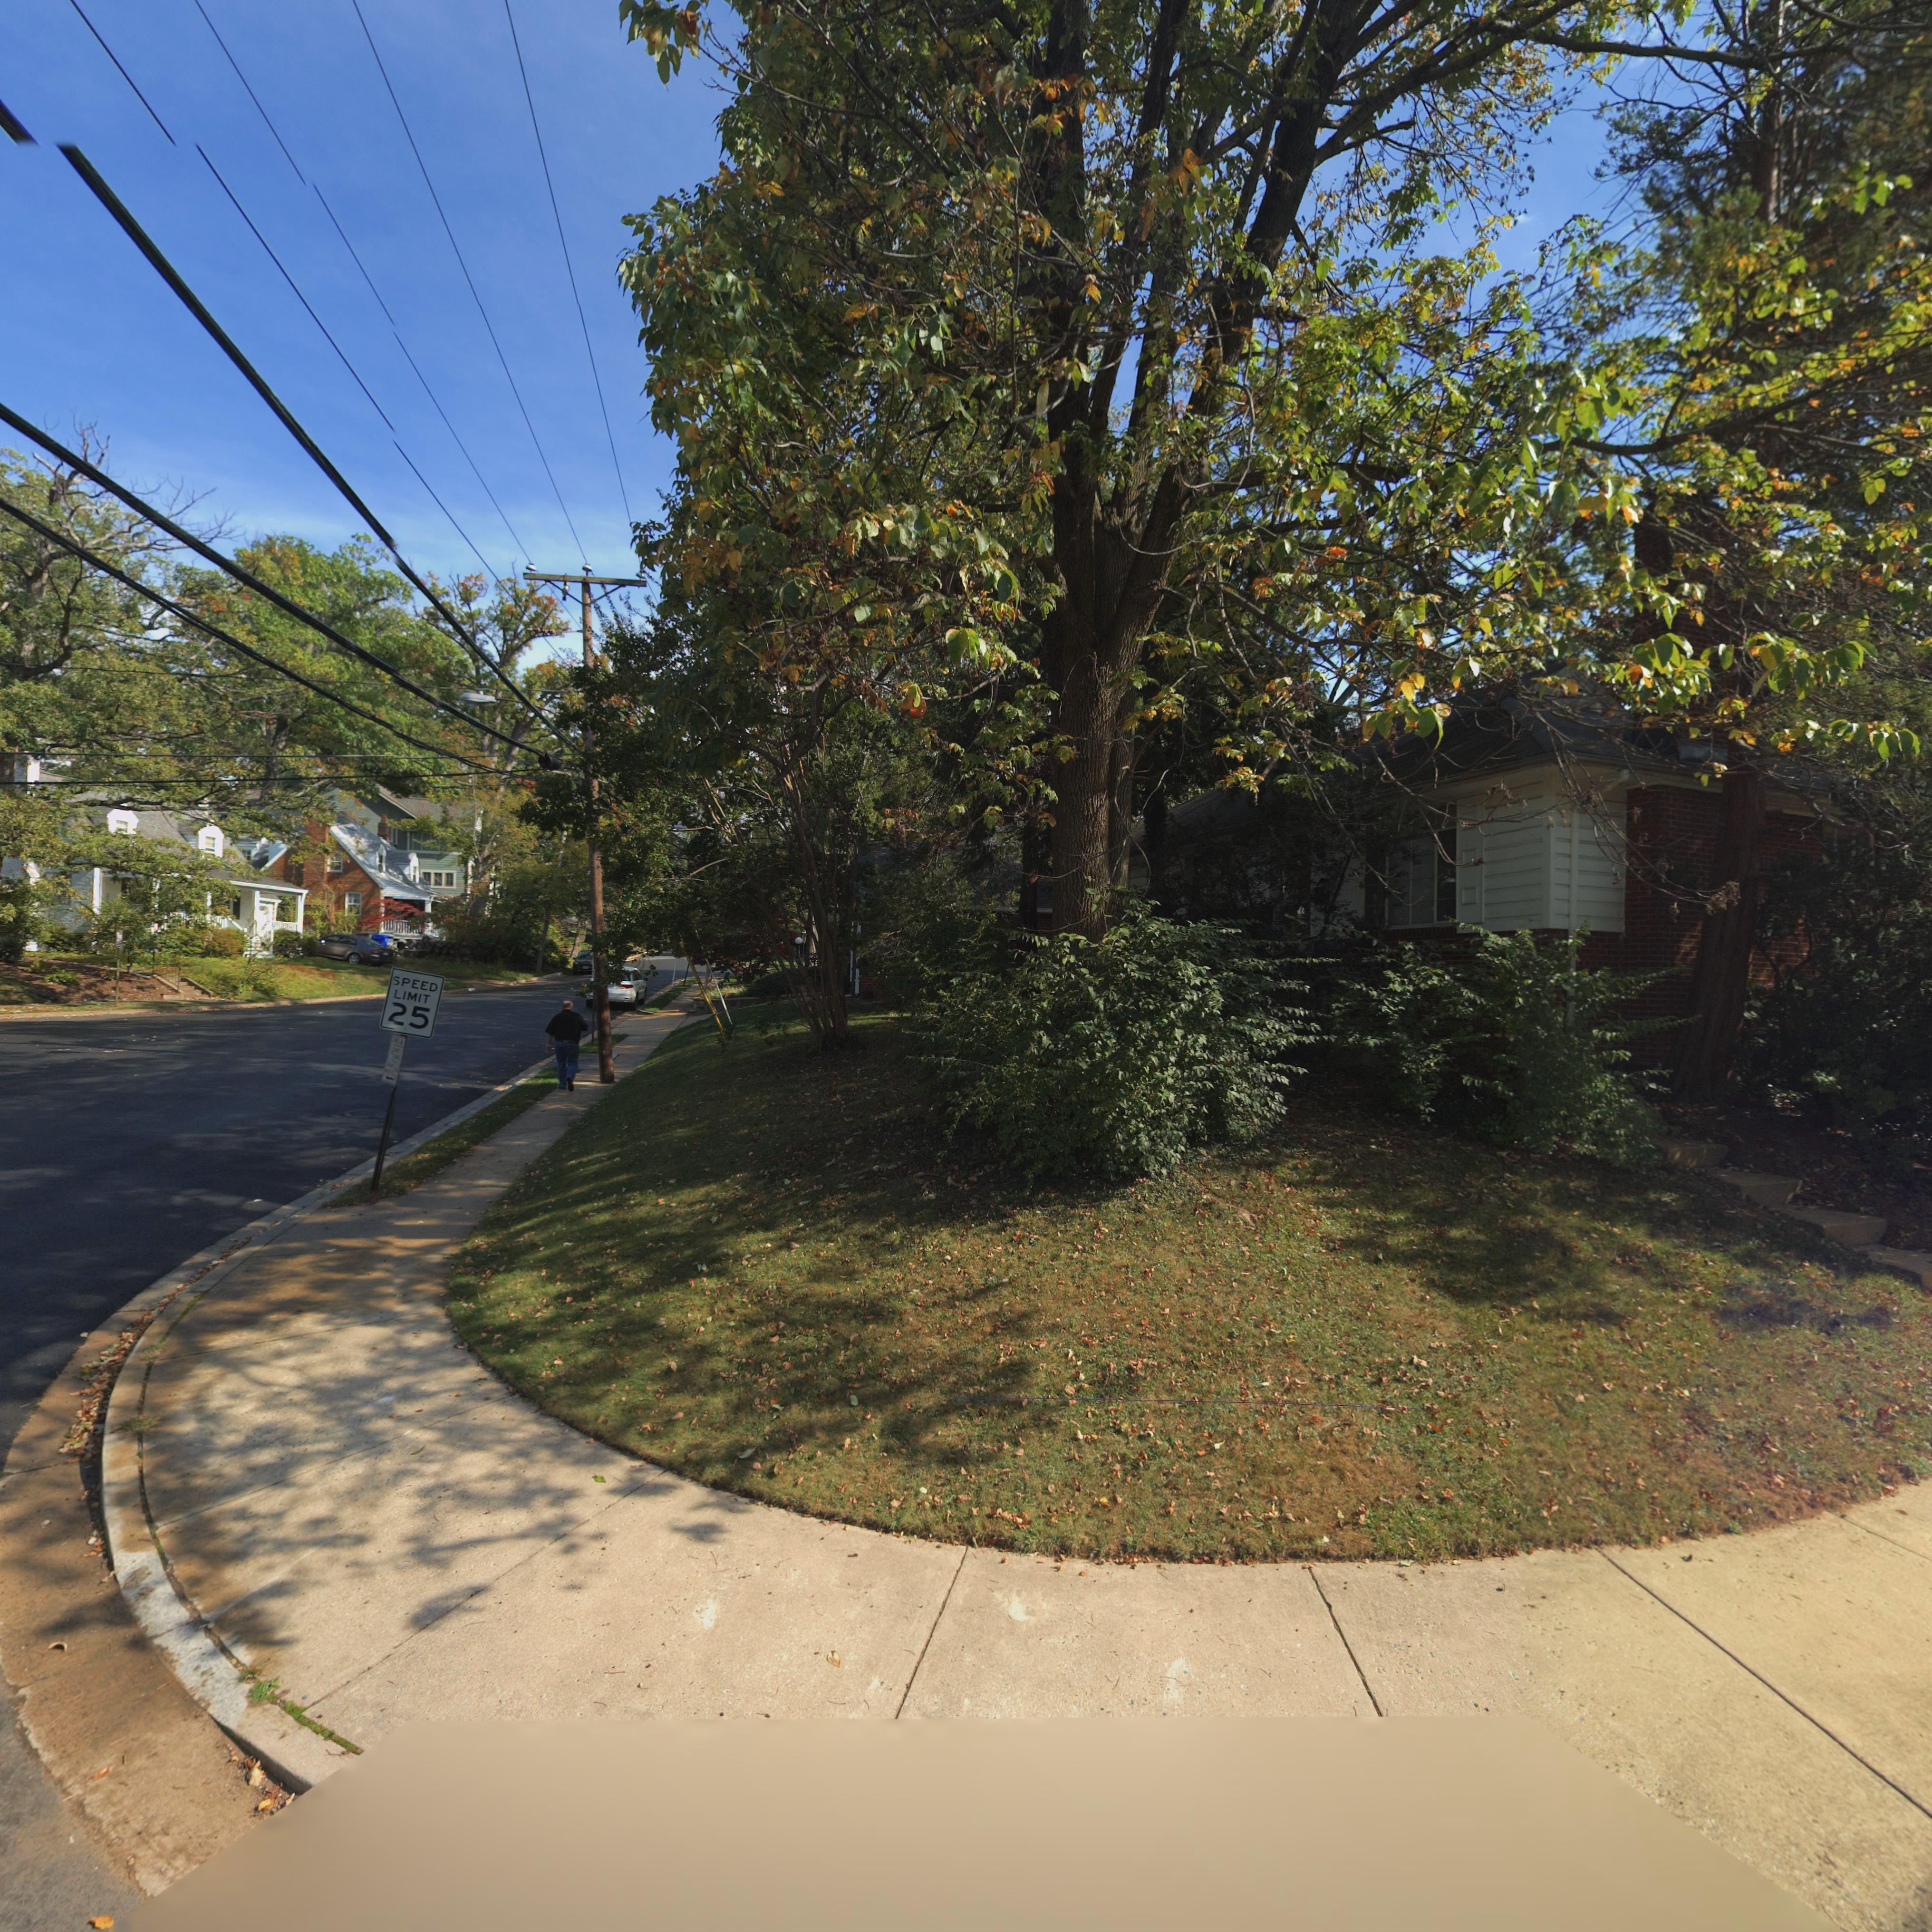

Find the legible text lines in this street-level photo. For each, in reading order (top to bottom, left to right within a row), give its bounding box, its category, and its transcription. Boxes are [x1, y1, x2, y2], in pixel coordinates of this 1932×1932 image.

[391, 974, 440, 994] None: SPEED
[392, 987, 433, 1006] None: LIMIT
[386, 1000, 432, 1031] None: 25